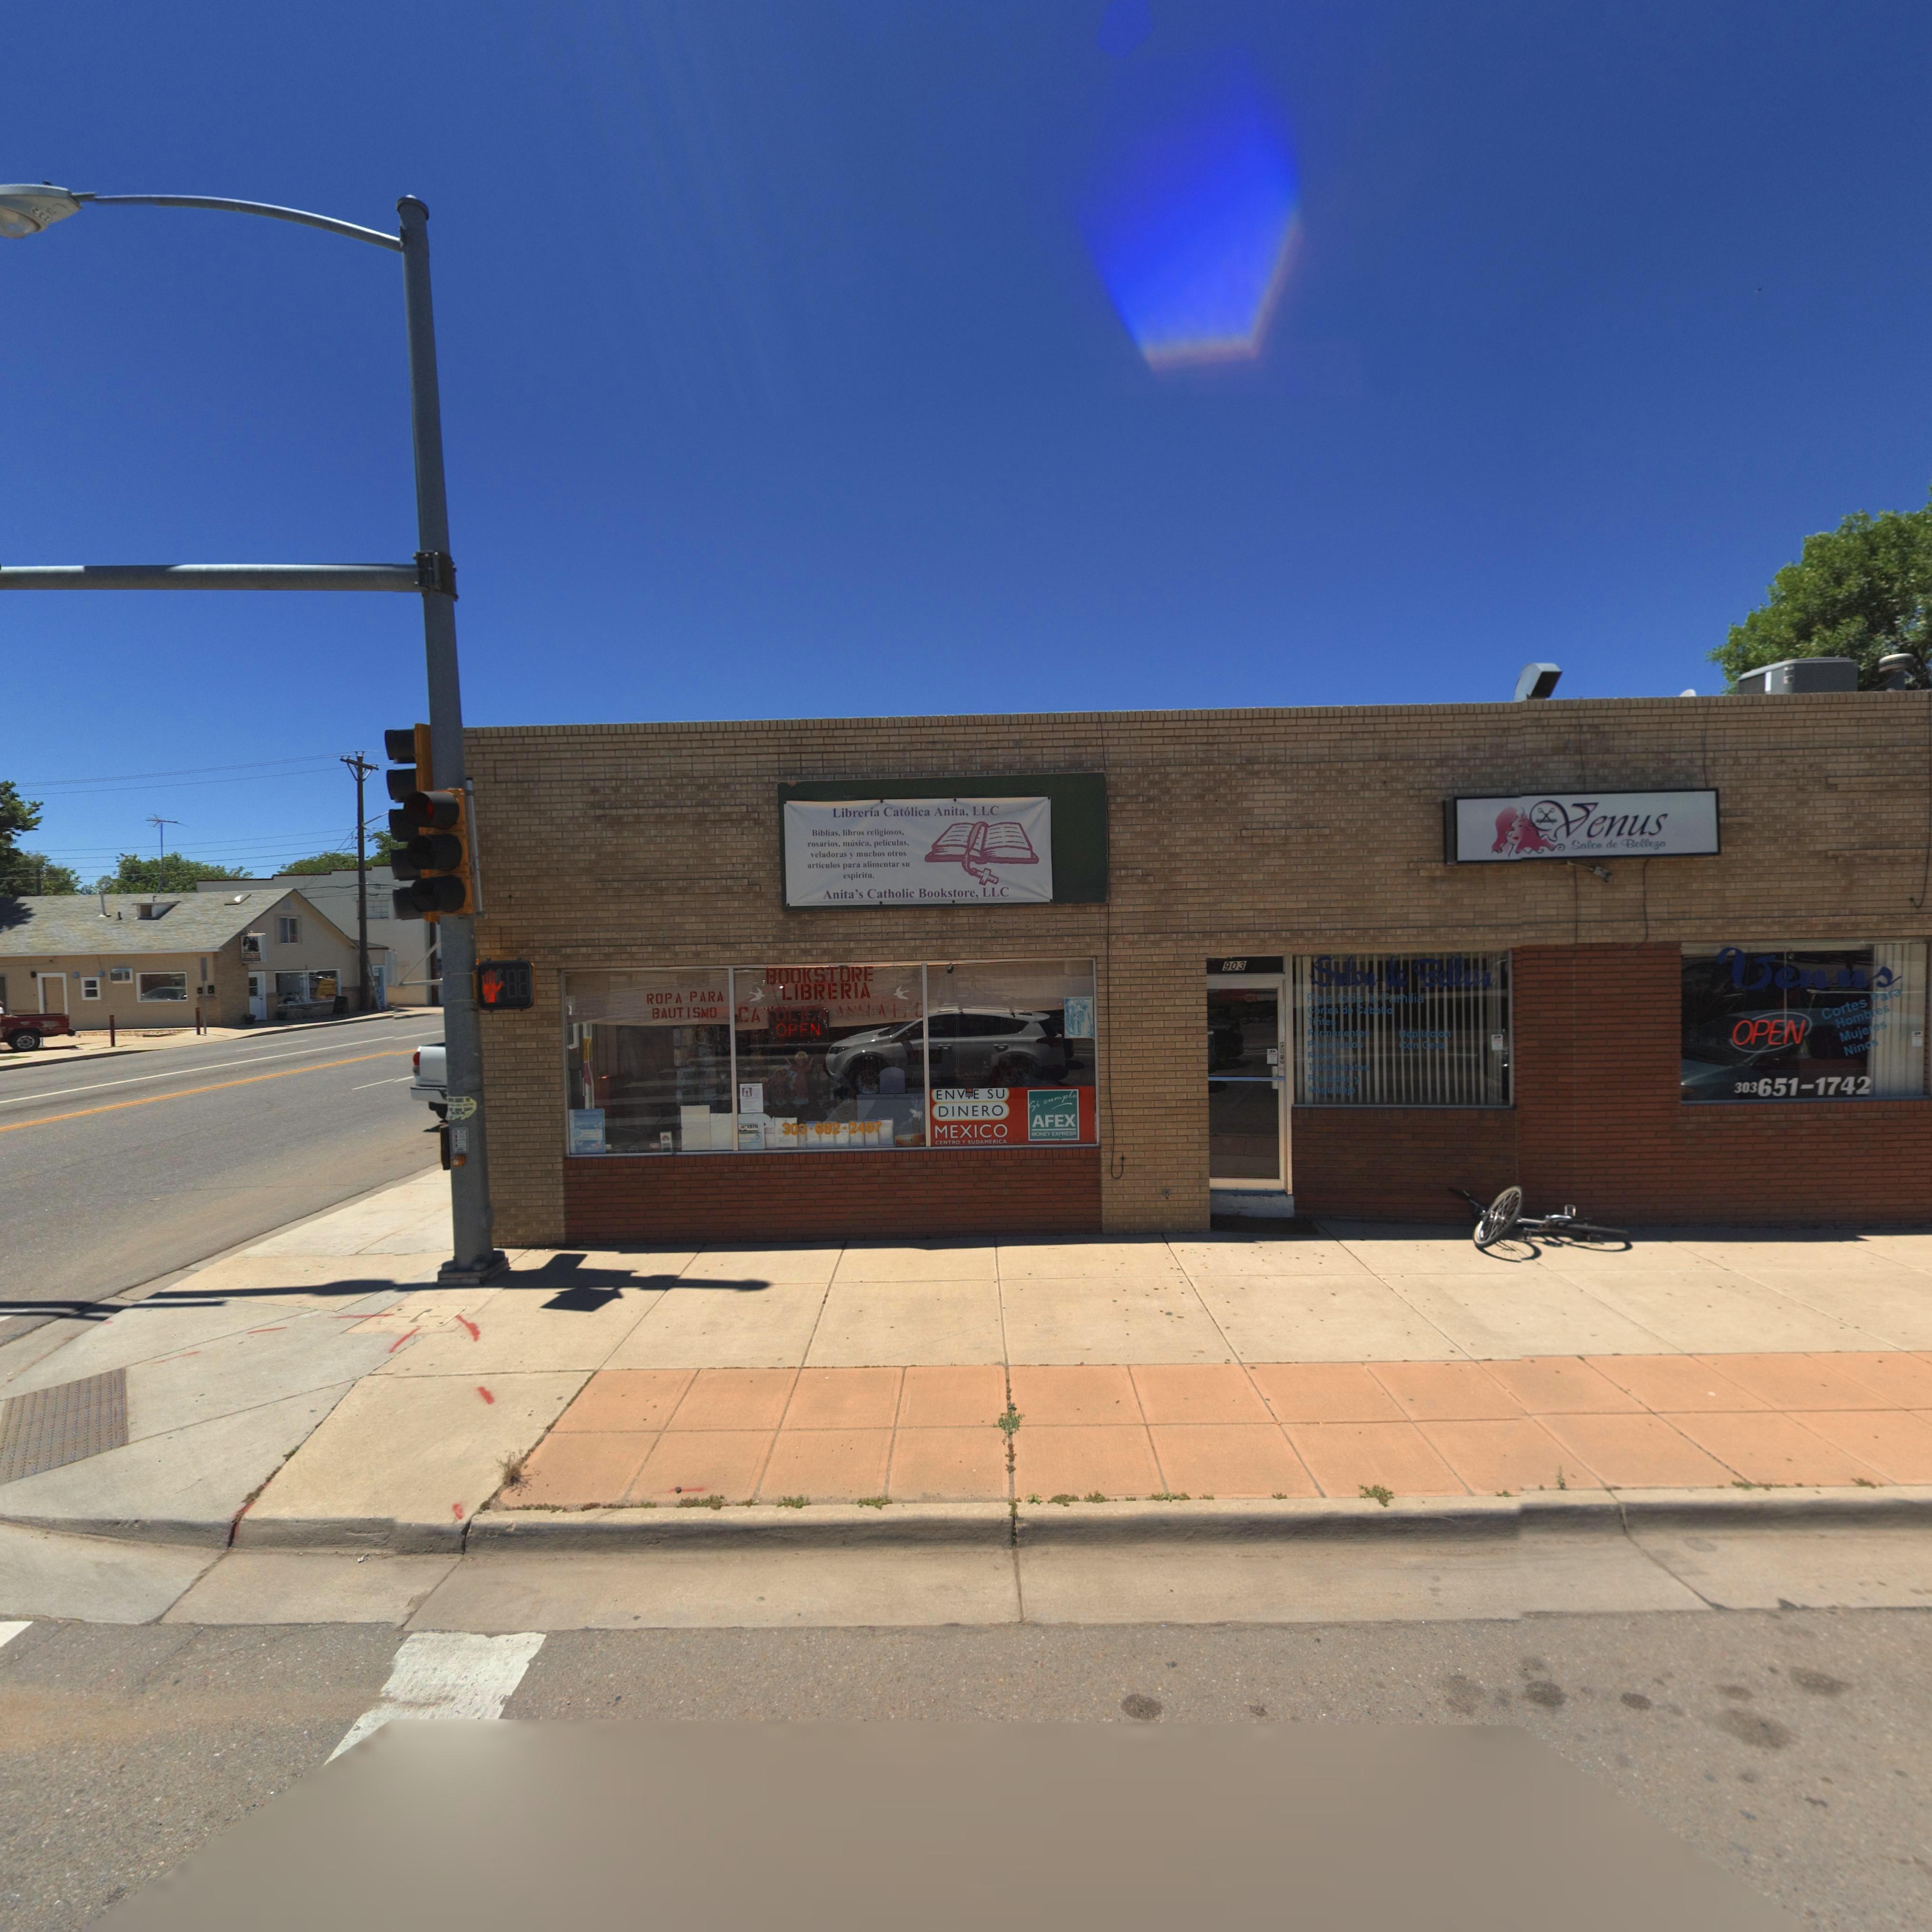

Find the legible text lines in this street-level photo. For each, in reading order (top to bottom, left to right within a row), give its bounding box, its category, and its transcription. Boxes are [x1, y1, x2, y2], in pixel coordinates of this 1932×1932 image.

[832, 805, 999, 818] BusinessName: Libreria Cat*lica Anita, LLC
[1550, 801, 1669, 838] BusinessName: Venus
[1570, 837, 1666, 850] BusinessName: Salon de Belleza
[822, 887, 1009, 899] BusinessName: Anita's Catholic Bookstore, LLC
[765, 966, 873, 985] BusinessName: BOOKSTORE
[1223, 961, 1245, 970] StreetNumber: 903
[1307, 955, 1496, 988] BusinessName: Salon de Belleza
[1716, 946, 1903, 991] BusinessName: Venus
[782, 981, 870, 1001] BusinessName: LIBRERIA
[738, 1001, 923, 1023] BusinessName: CATOLICA ANITA LLC